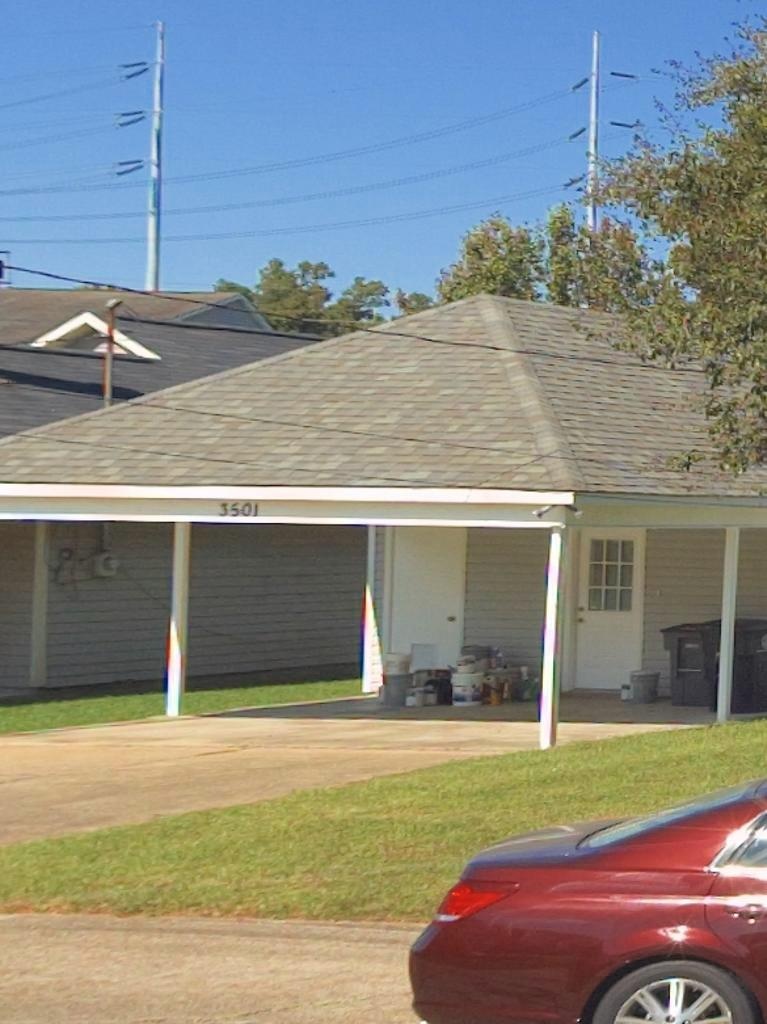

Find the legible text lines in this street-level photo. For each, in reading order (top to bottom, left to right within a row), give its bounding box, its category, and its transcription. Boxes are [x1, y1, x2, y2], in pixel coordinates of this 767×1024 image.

[218, 501, 260, 516] StreetNumber: 3501